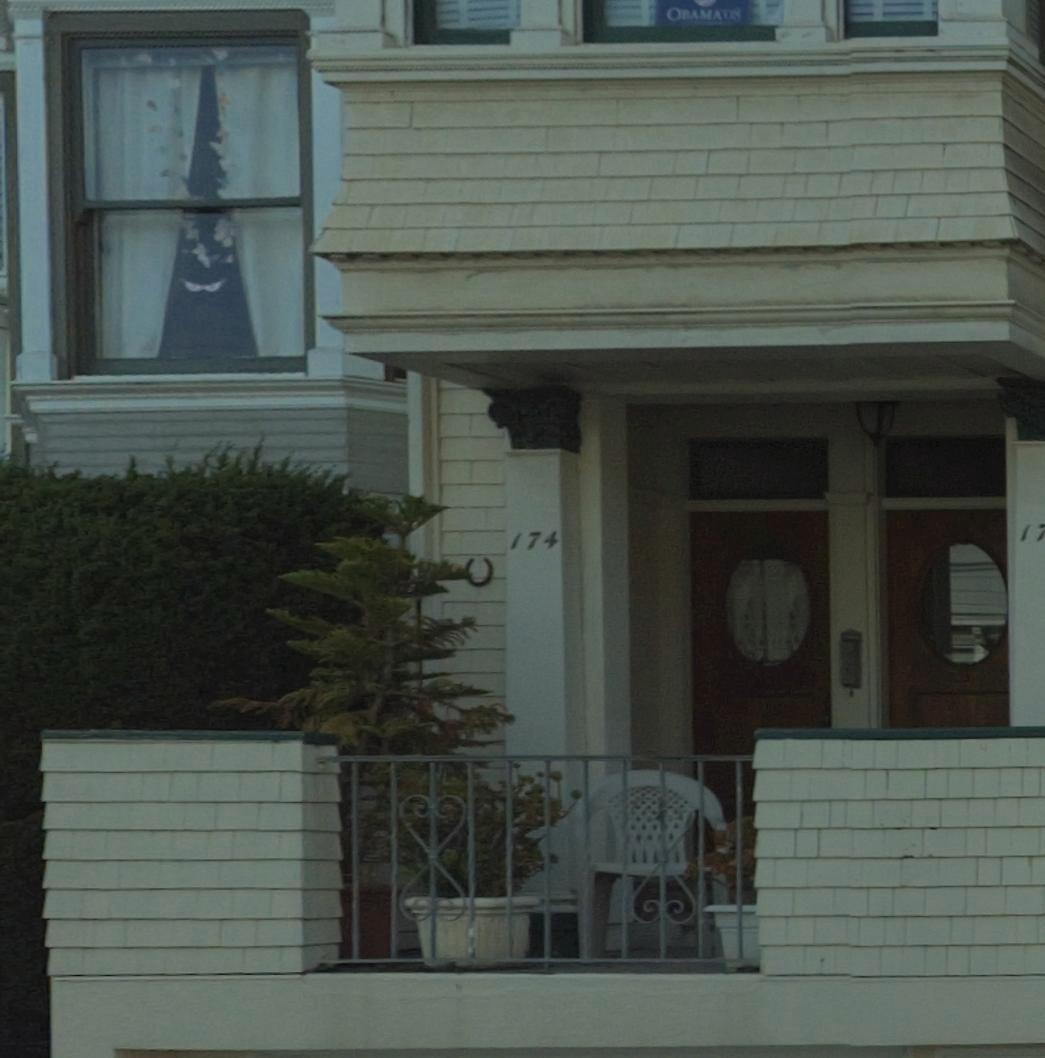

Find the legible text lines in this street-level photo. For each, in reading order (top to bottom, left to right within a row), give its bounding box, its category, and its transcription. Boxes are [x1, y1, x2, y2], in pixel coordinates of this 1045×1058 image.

[507, 531, 559, 551] StreetNumber: 174
[1018, 523, 1036, 542] StreetNumber: 1